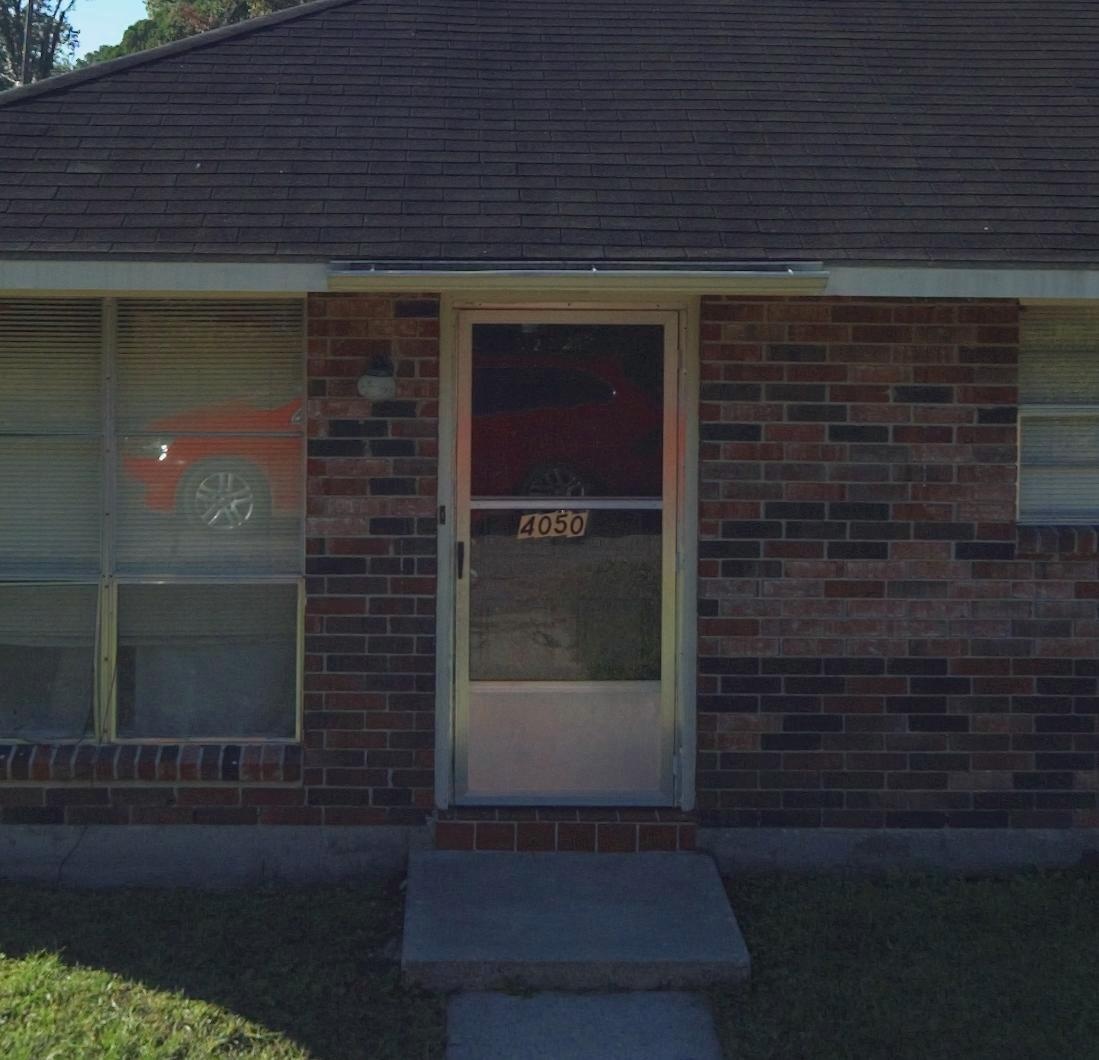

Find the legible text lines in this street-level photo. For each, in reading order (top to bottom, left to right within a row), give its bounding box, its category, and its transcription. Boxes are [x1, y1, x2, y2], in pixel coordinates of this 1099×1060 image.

[517, 513, 586, 537] StreetNumber: 4050